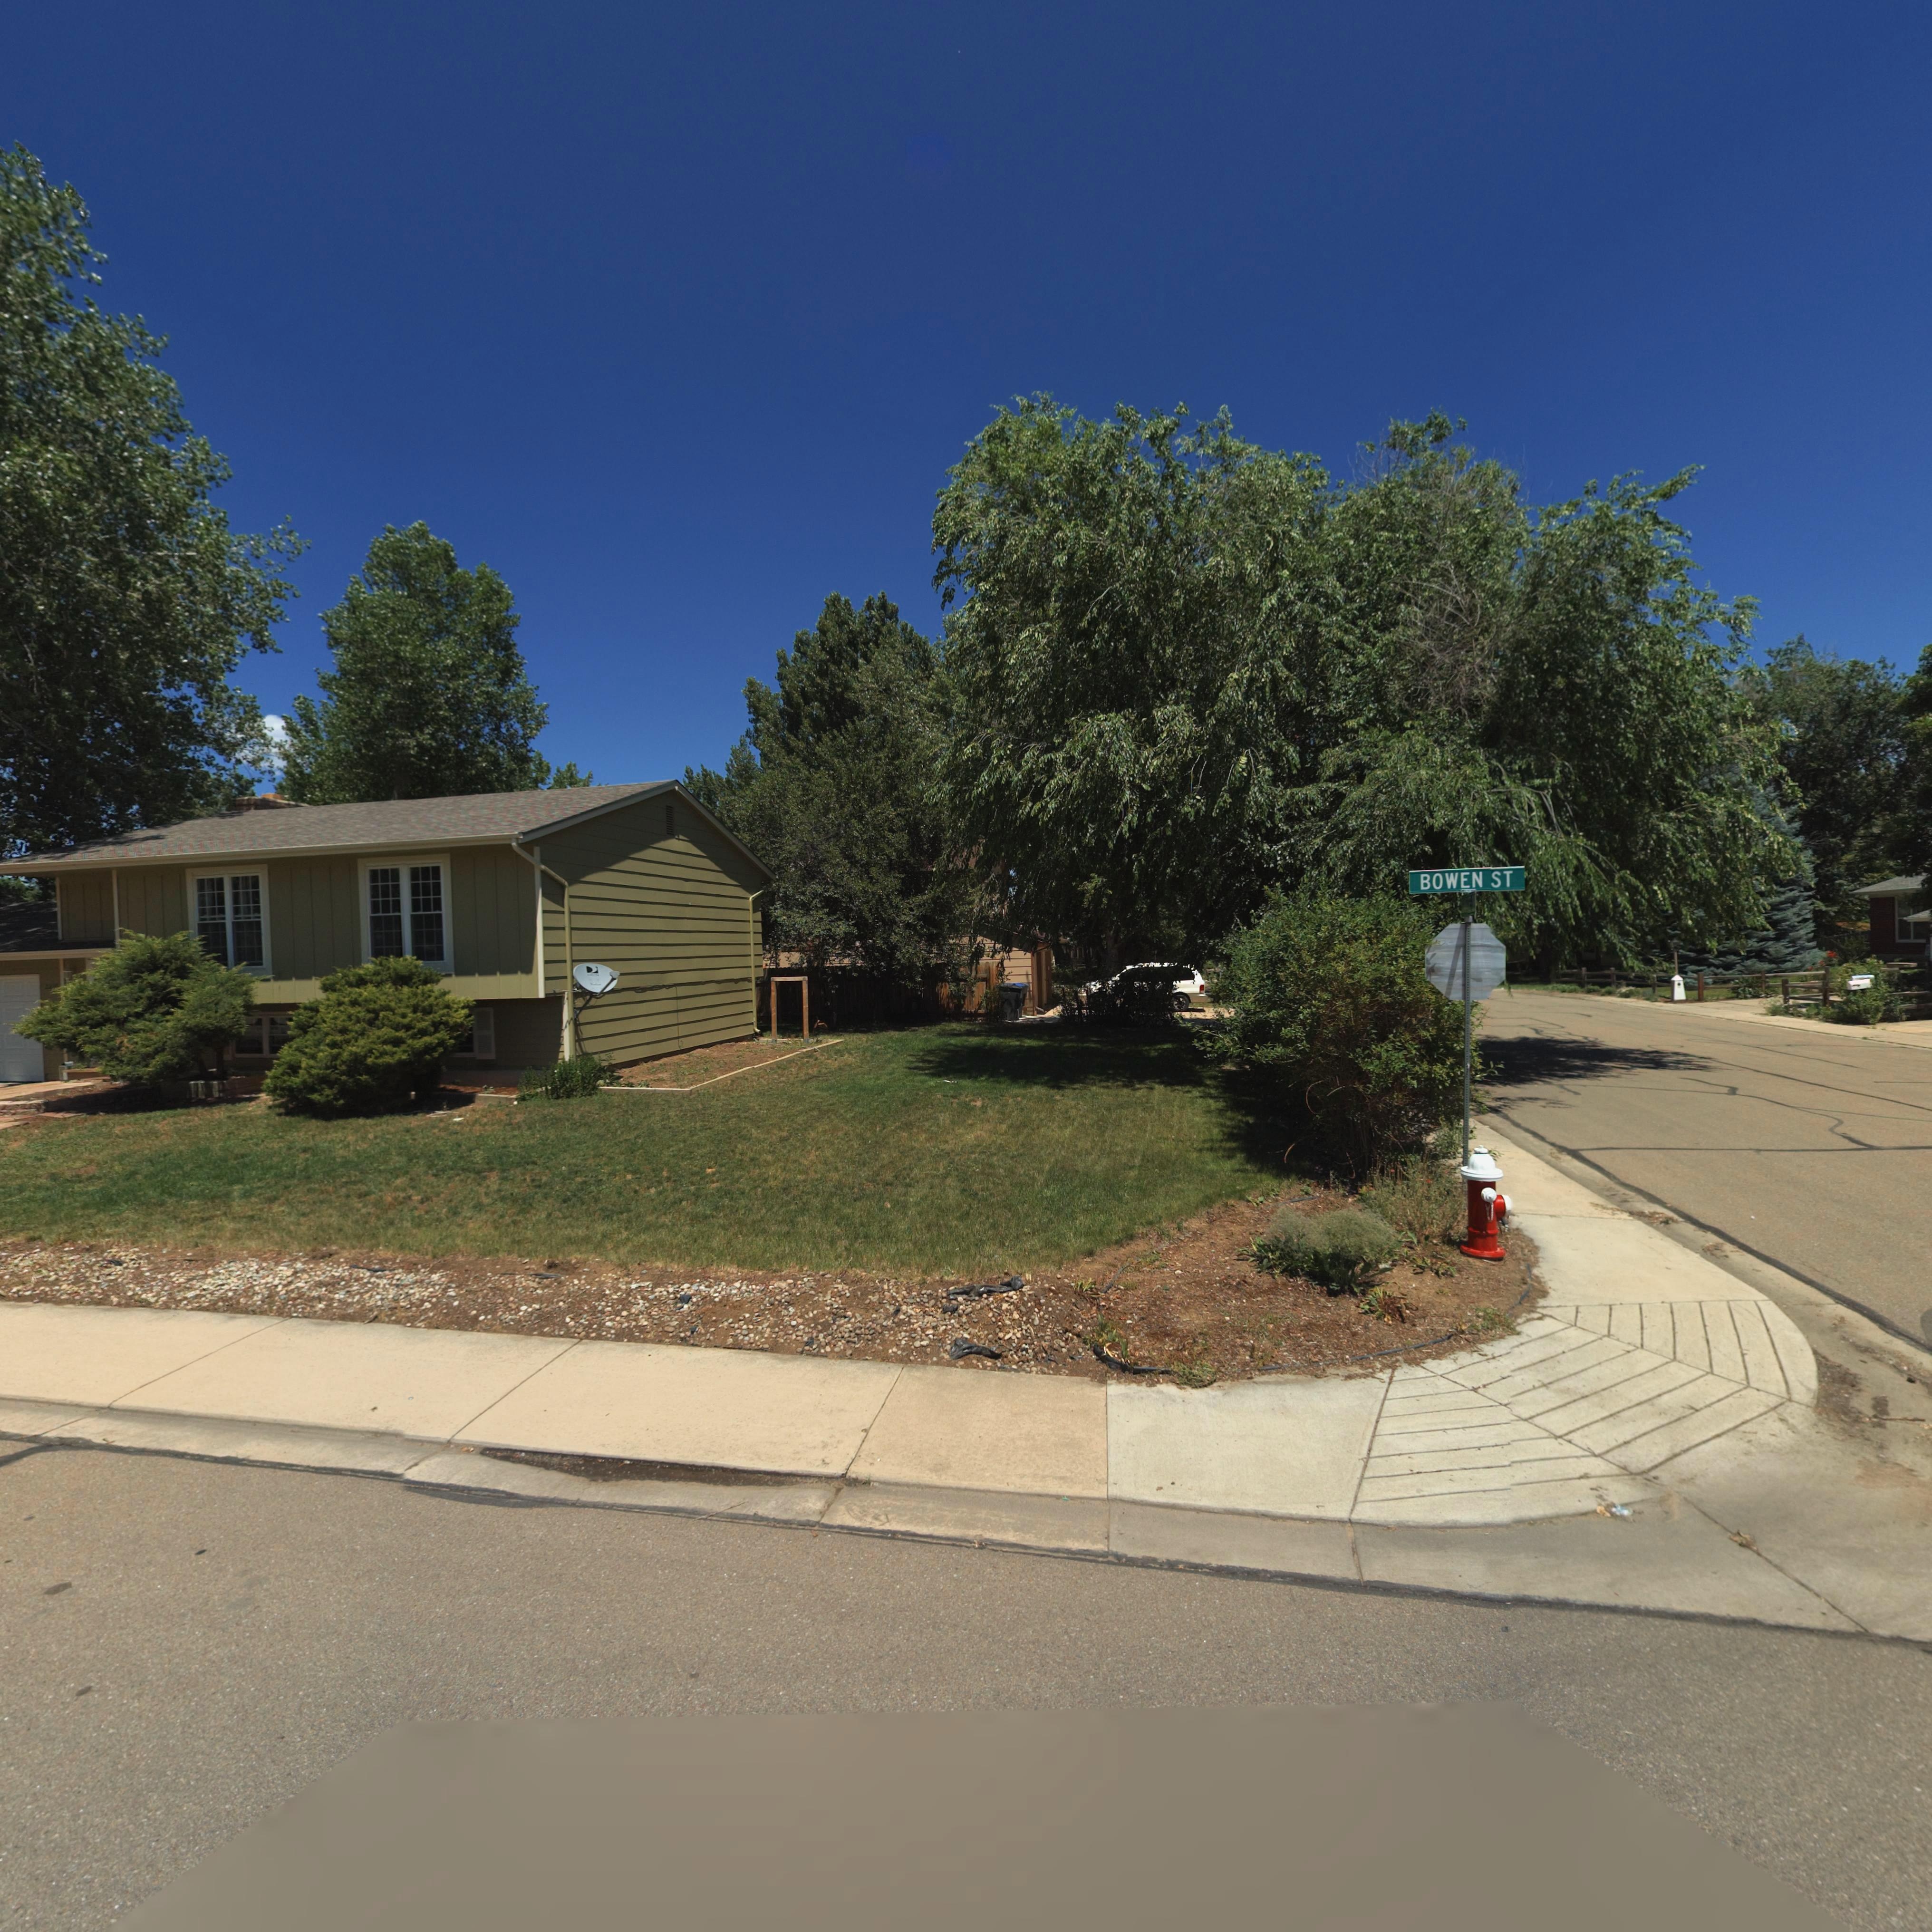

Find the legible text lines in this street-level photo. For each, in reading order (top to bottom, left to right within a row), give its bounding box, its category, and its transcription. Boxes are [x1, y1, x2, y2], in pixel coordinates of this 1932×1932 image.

[1419, 870, 1514, 890] StreetName: BOWEN ST
[1460, 894, 1475, 914] StreetName: S*****E *R
[44, 983, 59, 990] StreetNumber: 2***